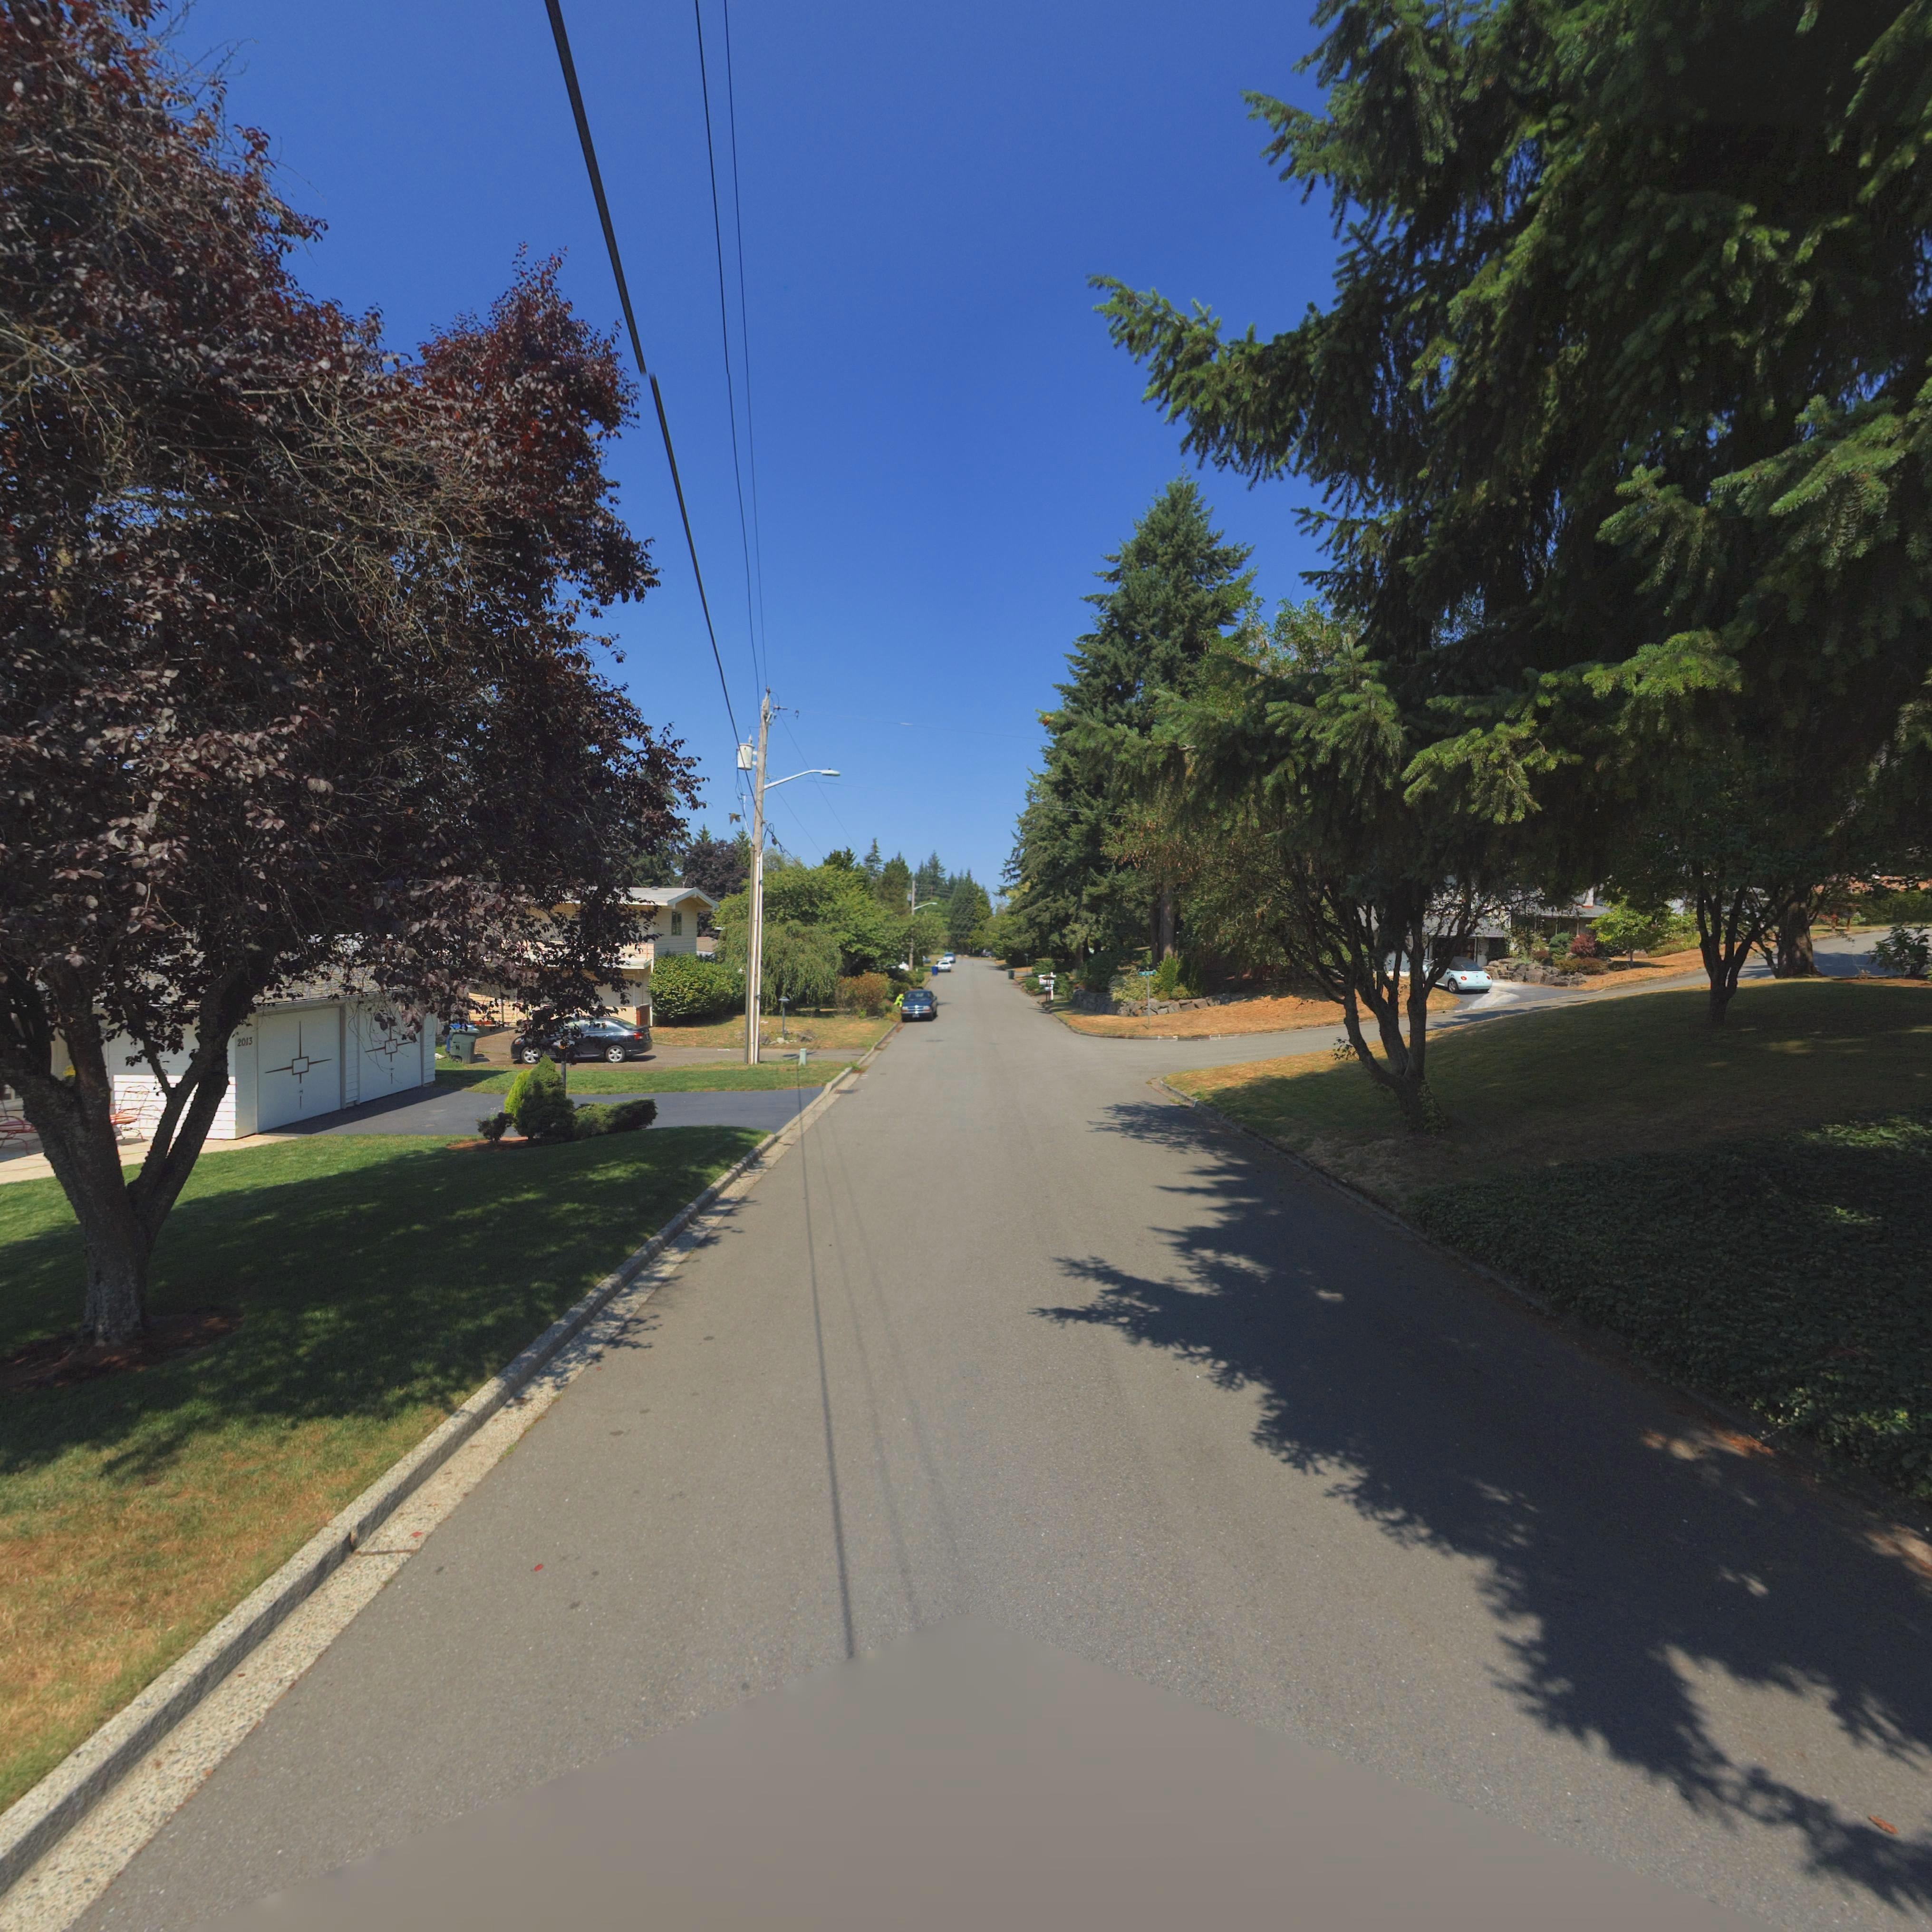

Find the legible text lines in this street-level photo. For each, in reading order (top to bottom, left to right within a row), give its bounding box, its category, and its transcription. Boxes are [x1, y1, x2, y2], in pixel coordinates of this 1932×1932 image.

[236, 1036, 252, 1047] StreetNumber: 2013